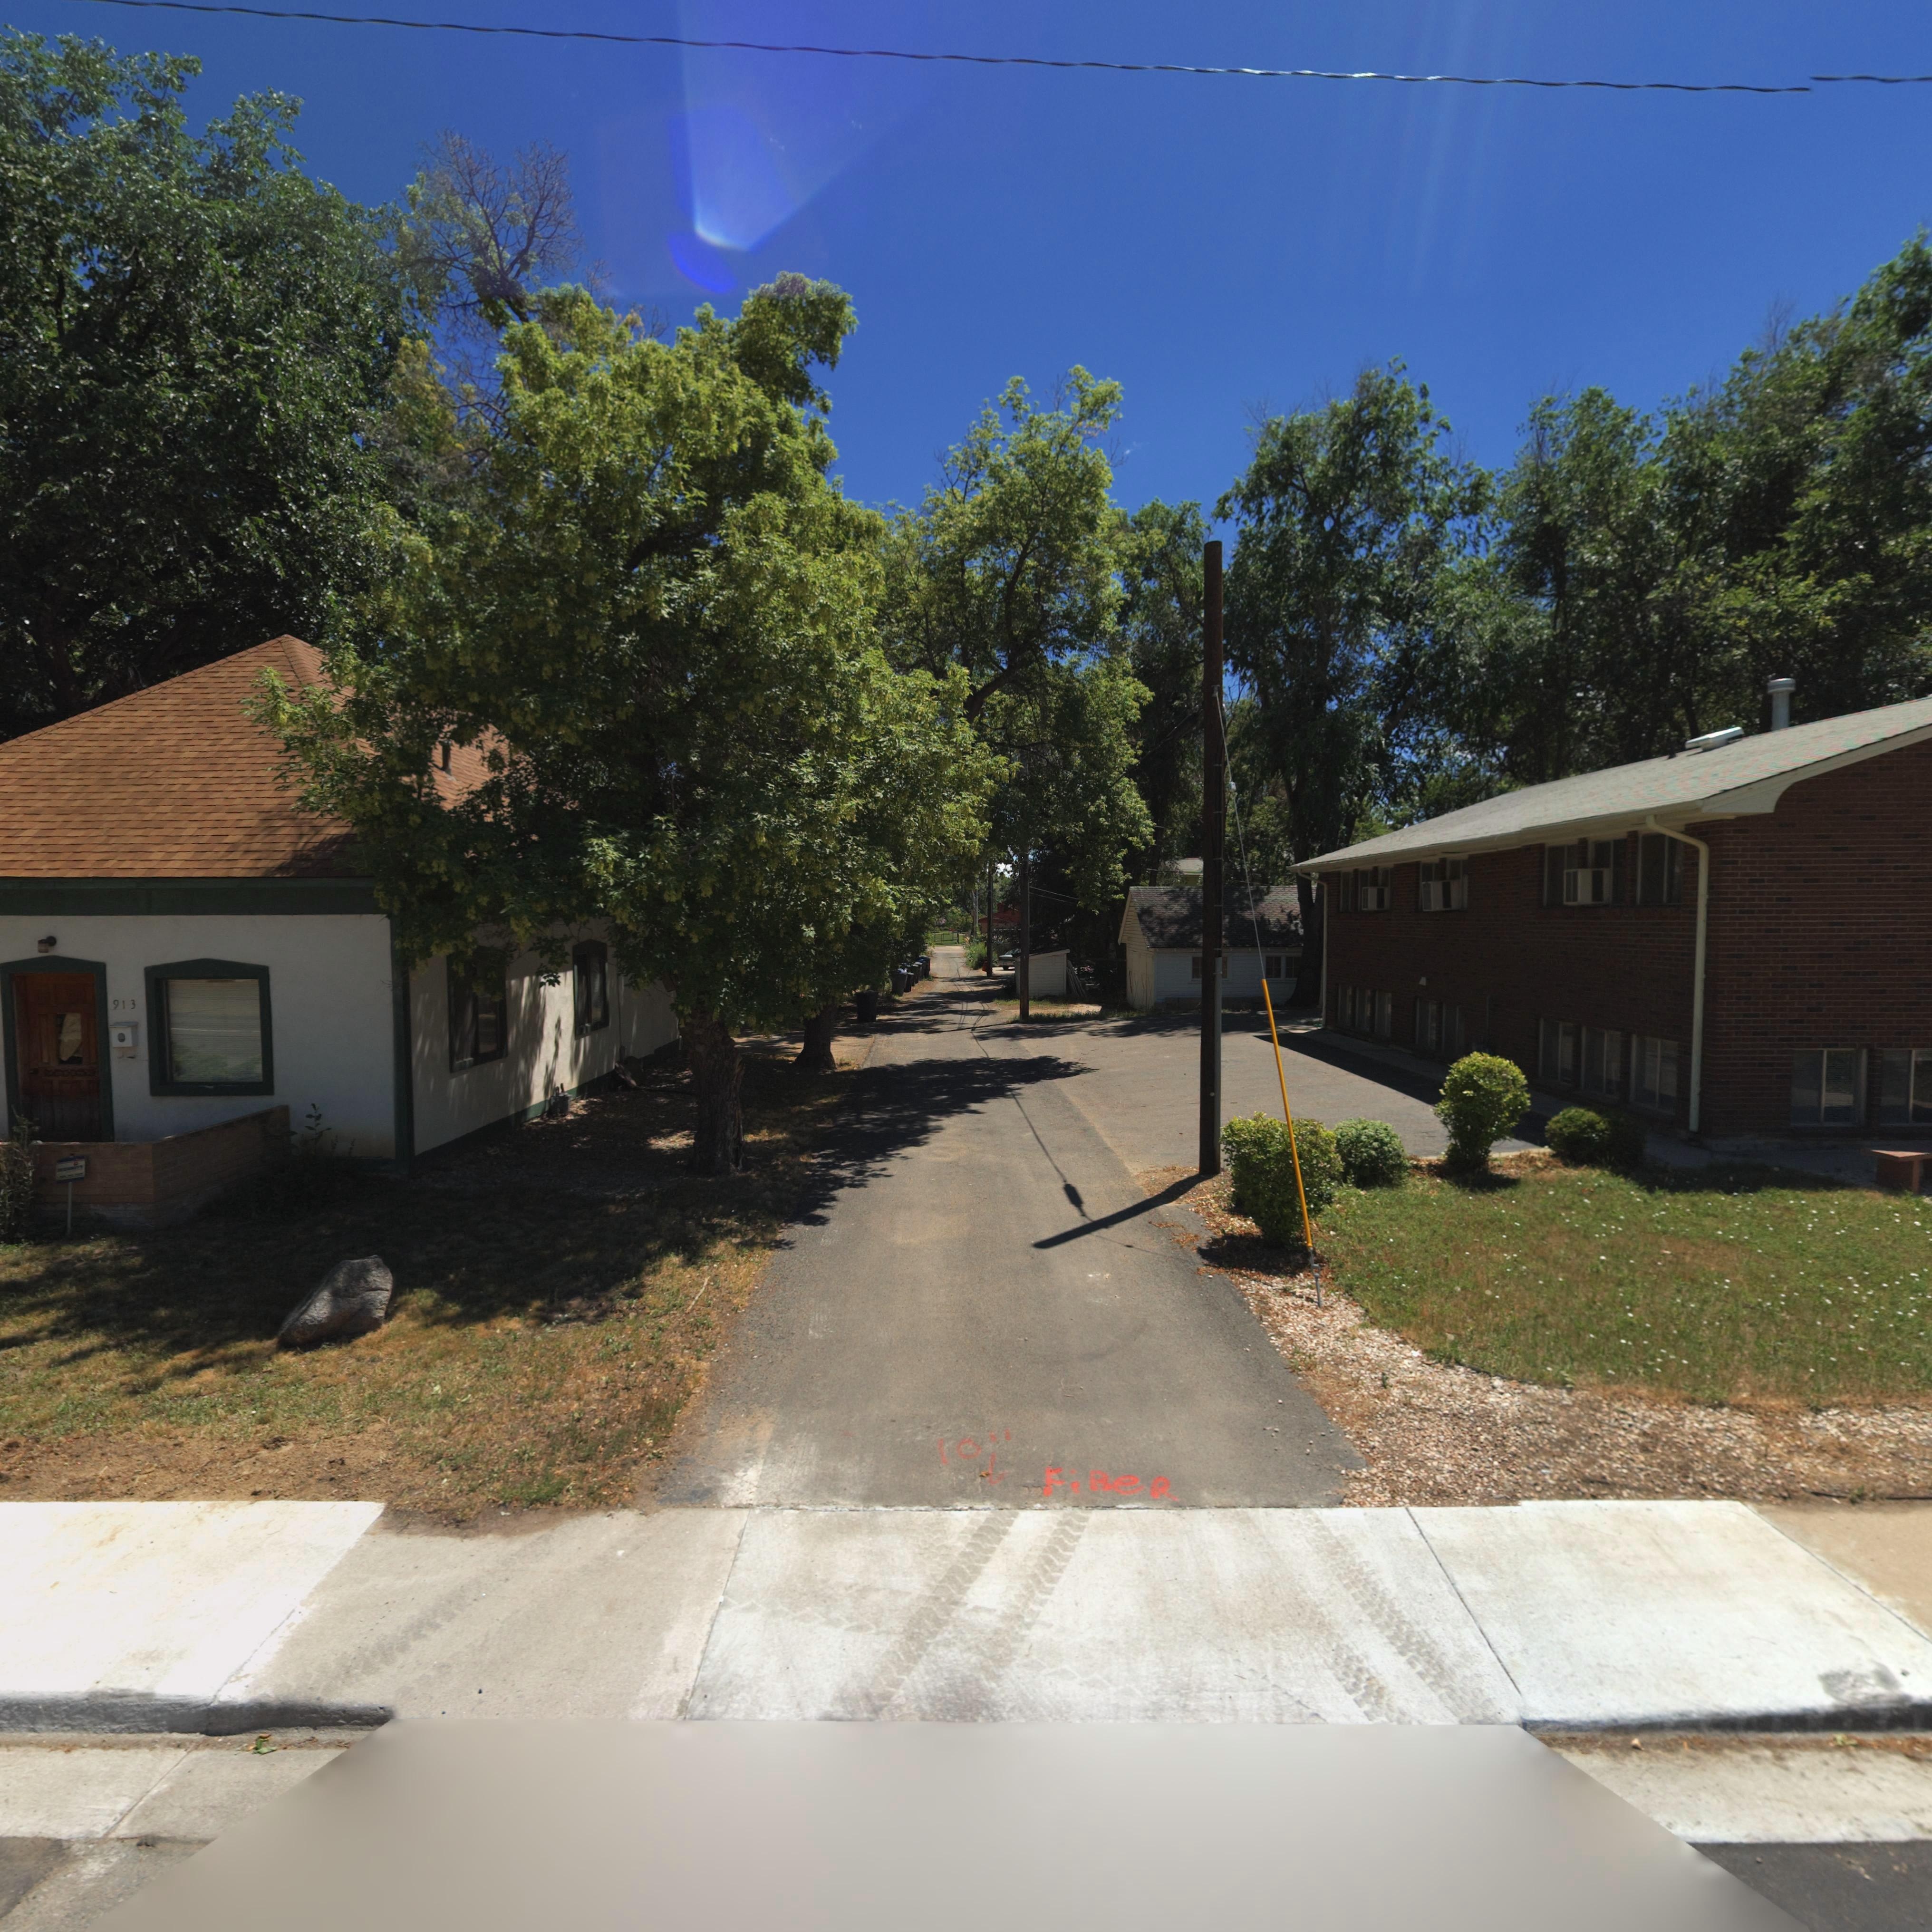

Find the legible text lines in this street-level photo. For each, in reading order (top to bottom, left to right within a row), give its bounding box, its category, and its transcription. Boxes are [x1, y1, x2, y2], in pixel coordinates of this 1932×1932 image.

[110, 997, 136, 1012] StreetNumber: 913